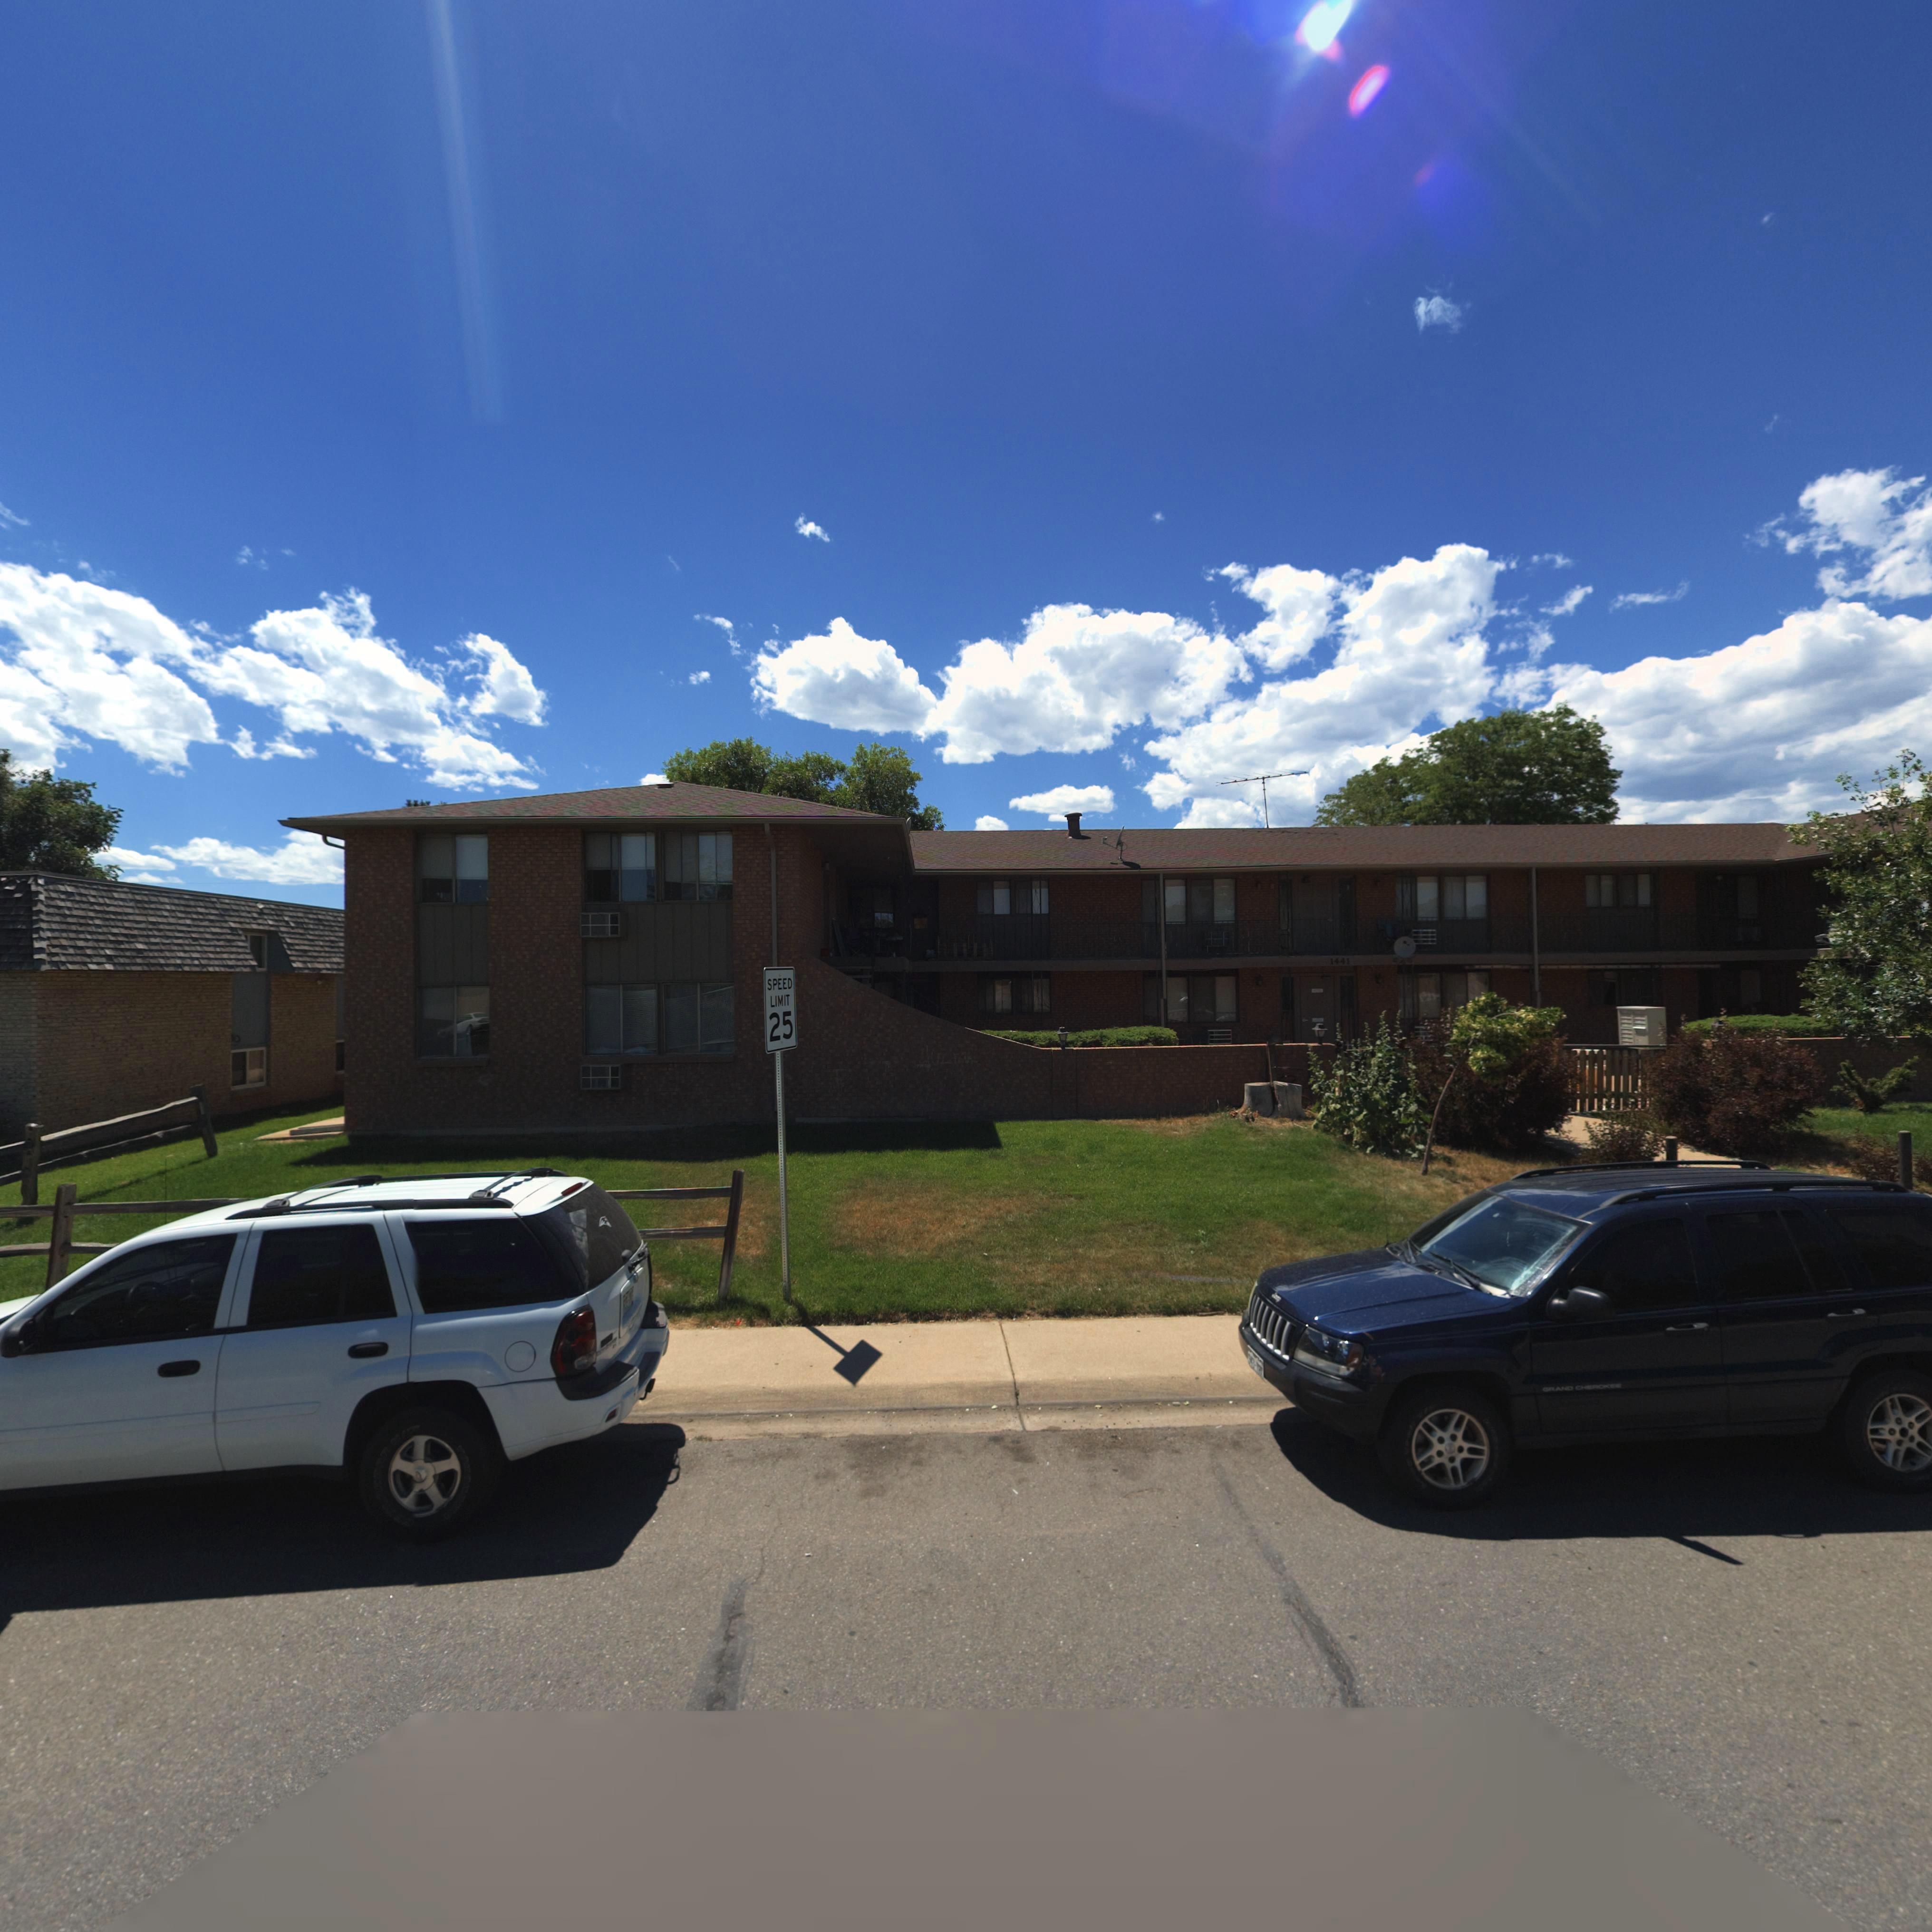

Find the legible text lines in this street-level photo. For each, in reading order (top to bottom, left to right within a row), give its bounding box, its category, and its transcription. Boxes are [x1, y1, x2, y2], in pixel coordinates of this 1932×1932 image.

[1330, 957, 1350, 965] StreetNumber: 1441